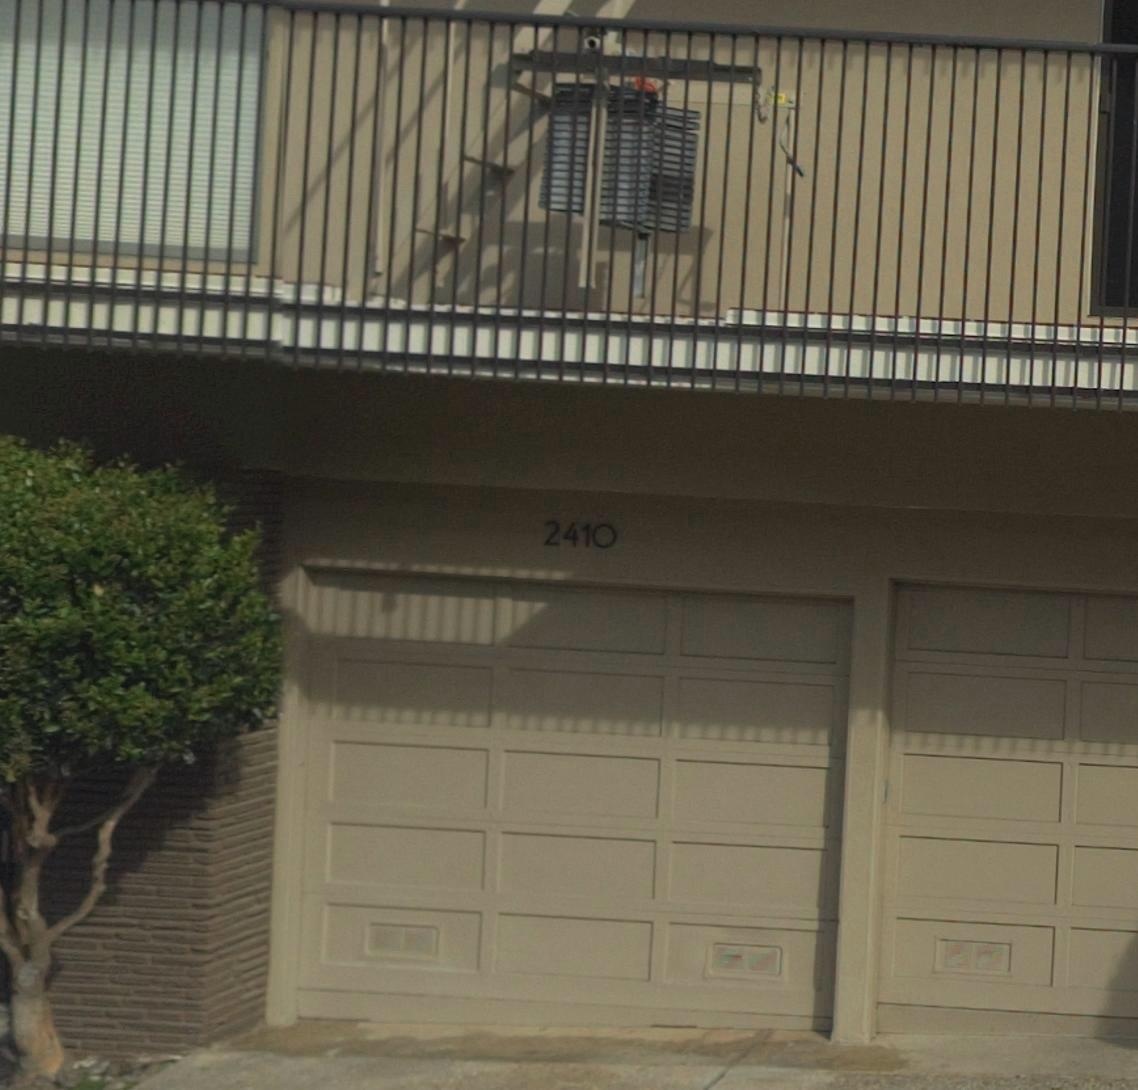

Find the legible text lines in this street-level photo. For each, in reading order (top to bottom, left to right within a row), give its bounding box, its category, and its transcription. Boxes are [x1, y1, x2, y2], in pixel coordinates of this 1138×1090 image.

[539, 517, 621, 552] StreetNumber: 2410